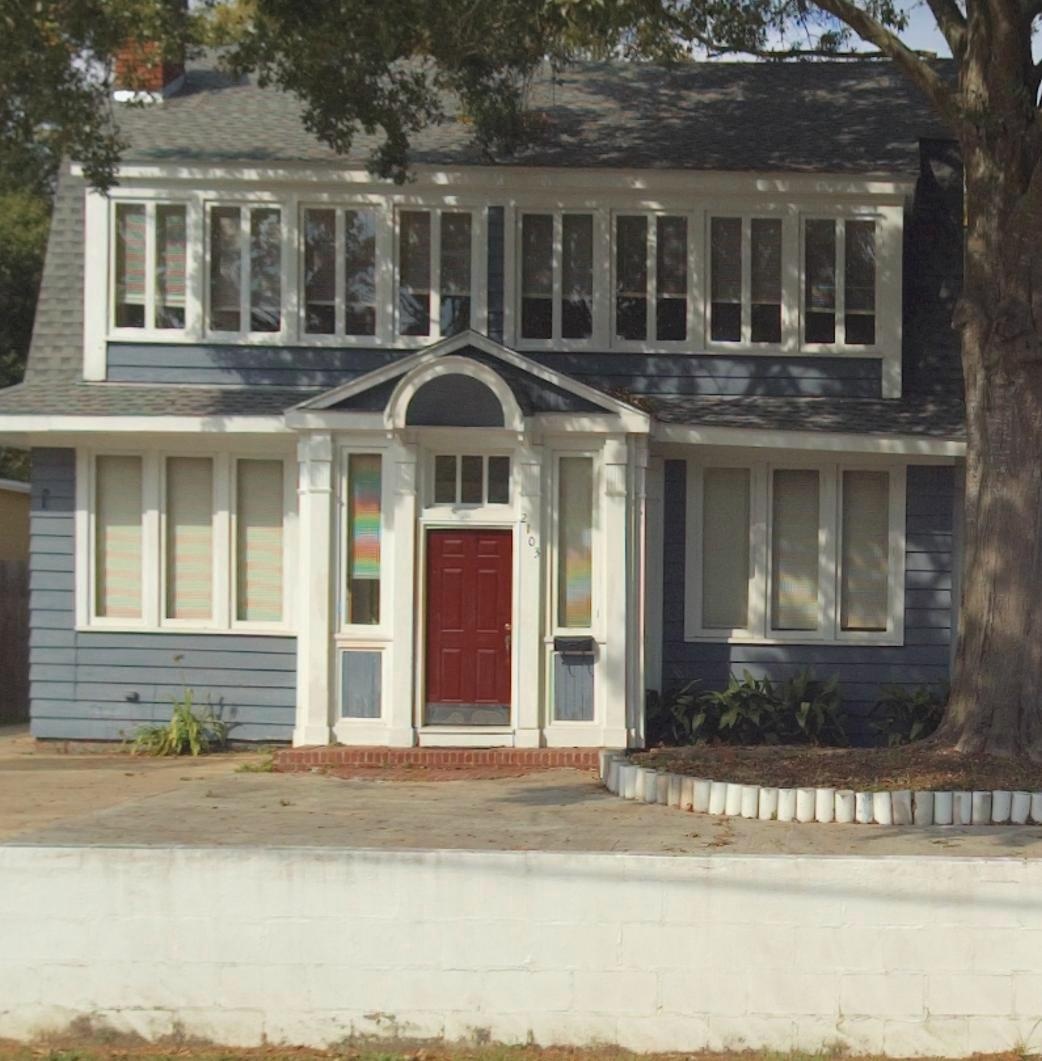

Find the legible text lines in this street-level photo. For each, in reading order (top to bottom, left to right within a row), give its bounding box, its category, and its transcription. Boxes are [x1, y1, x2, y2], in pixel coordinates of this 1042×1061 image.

[517, 511, 542, 561] StreetNumber: 2103